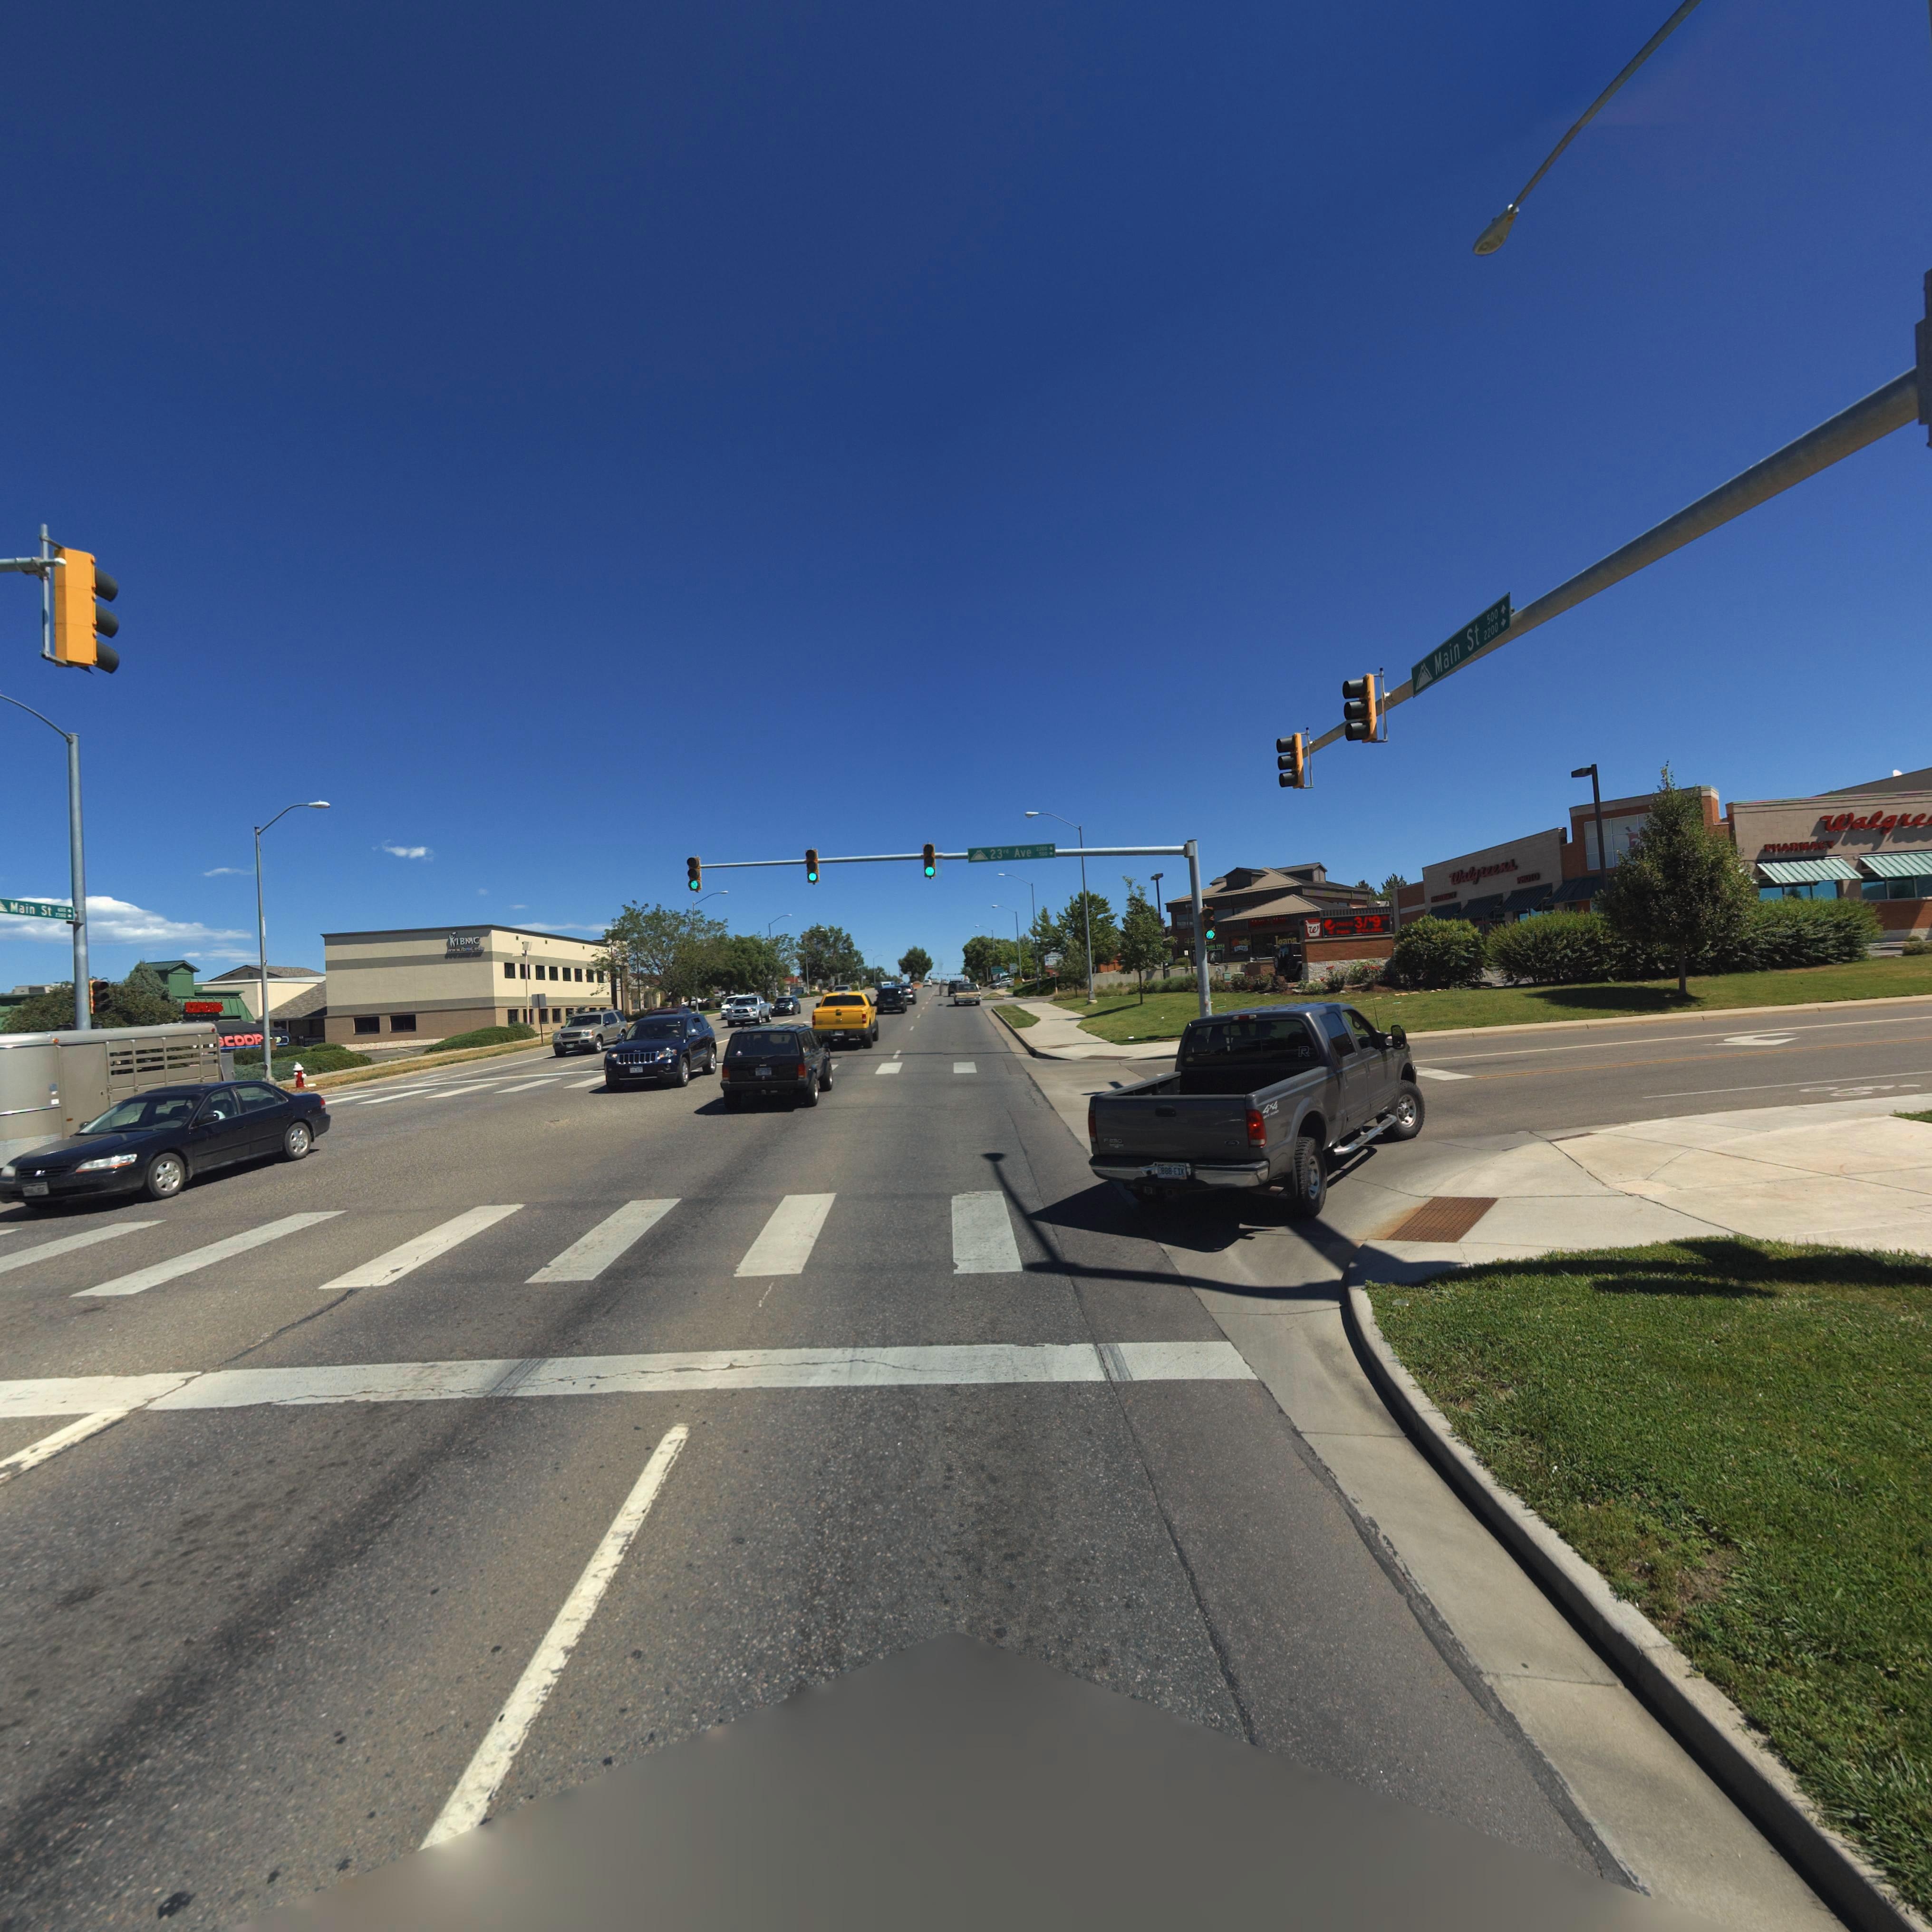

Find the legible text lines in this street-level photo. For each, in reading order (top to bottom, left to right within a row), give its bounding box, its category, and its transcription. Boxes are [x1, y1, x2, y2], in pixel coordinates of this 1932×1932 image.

[1486, 608, 1498, 626] StreetNumberRange: 500
[1483, 618, 1507, 641] StreetNumberRange: 2200->
[1433, 623, 1480, 676] StreetNumber: Main St
[1818, 810, 1927, 835] BusinessName: Walgre
[989, 847, 1031, 860] StreetName: 23rd Ave
[1035, 845, 1048, 851] StreetNumberRange: 2300
[1039, 851, 1053, 856] StreetNumberRange: 500->
[1448, 858, 1516, 885] BusinessName: Walgreens
[10, 901, 53, 917] StreetName: Main St
[54, 912, 72, 918] StreetNumberRange: 2*00->
[1308, 925, 1319, 933] BusinessName: W
[456, 936, 480, 945] BusinessName: IBMC
[184, 1001, 223, 1013] BusinessName: EXPRESS